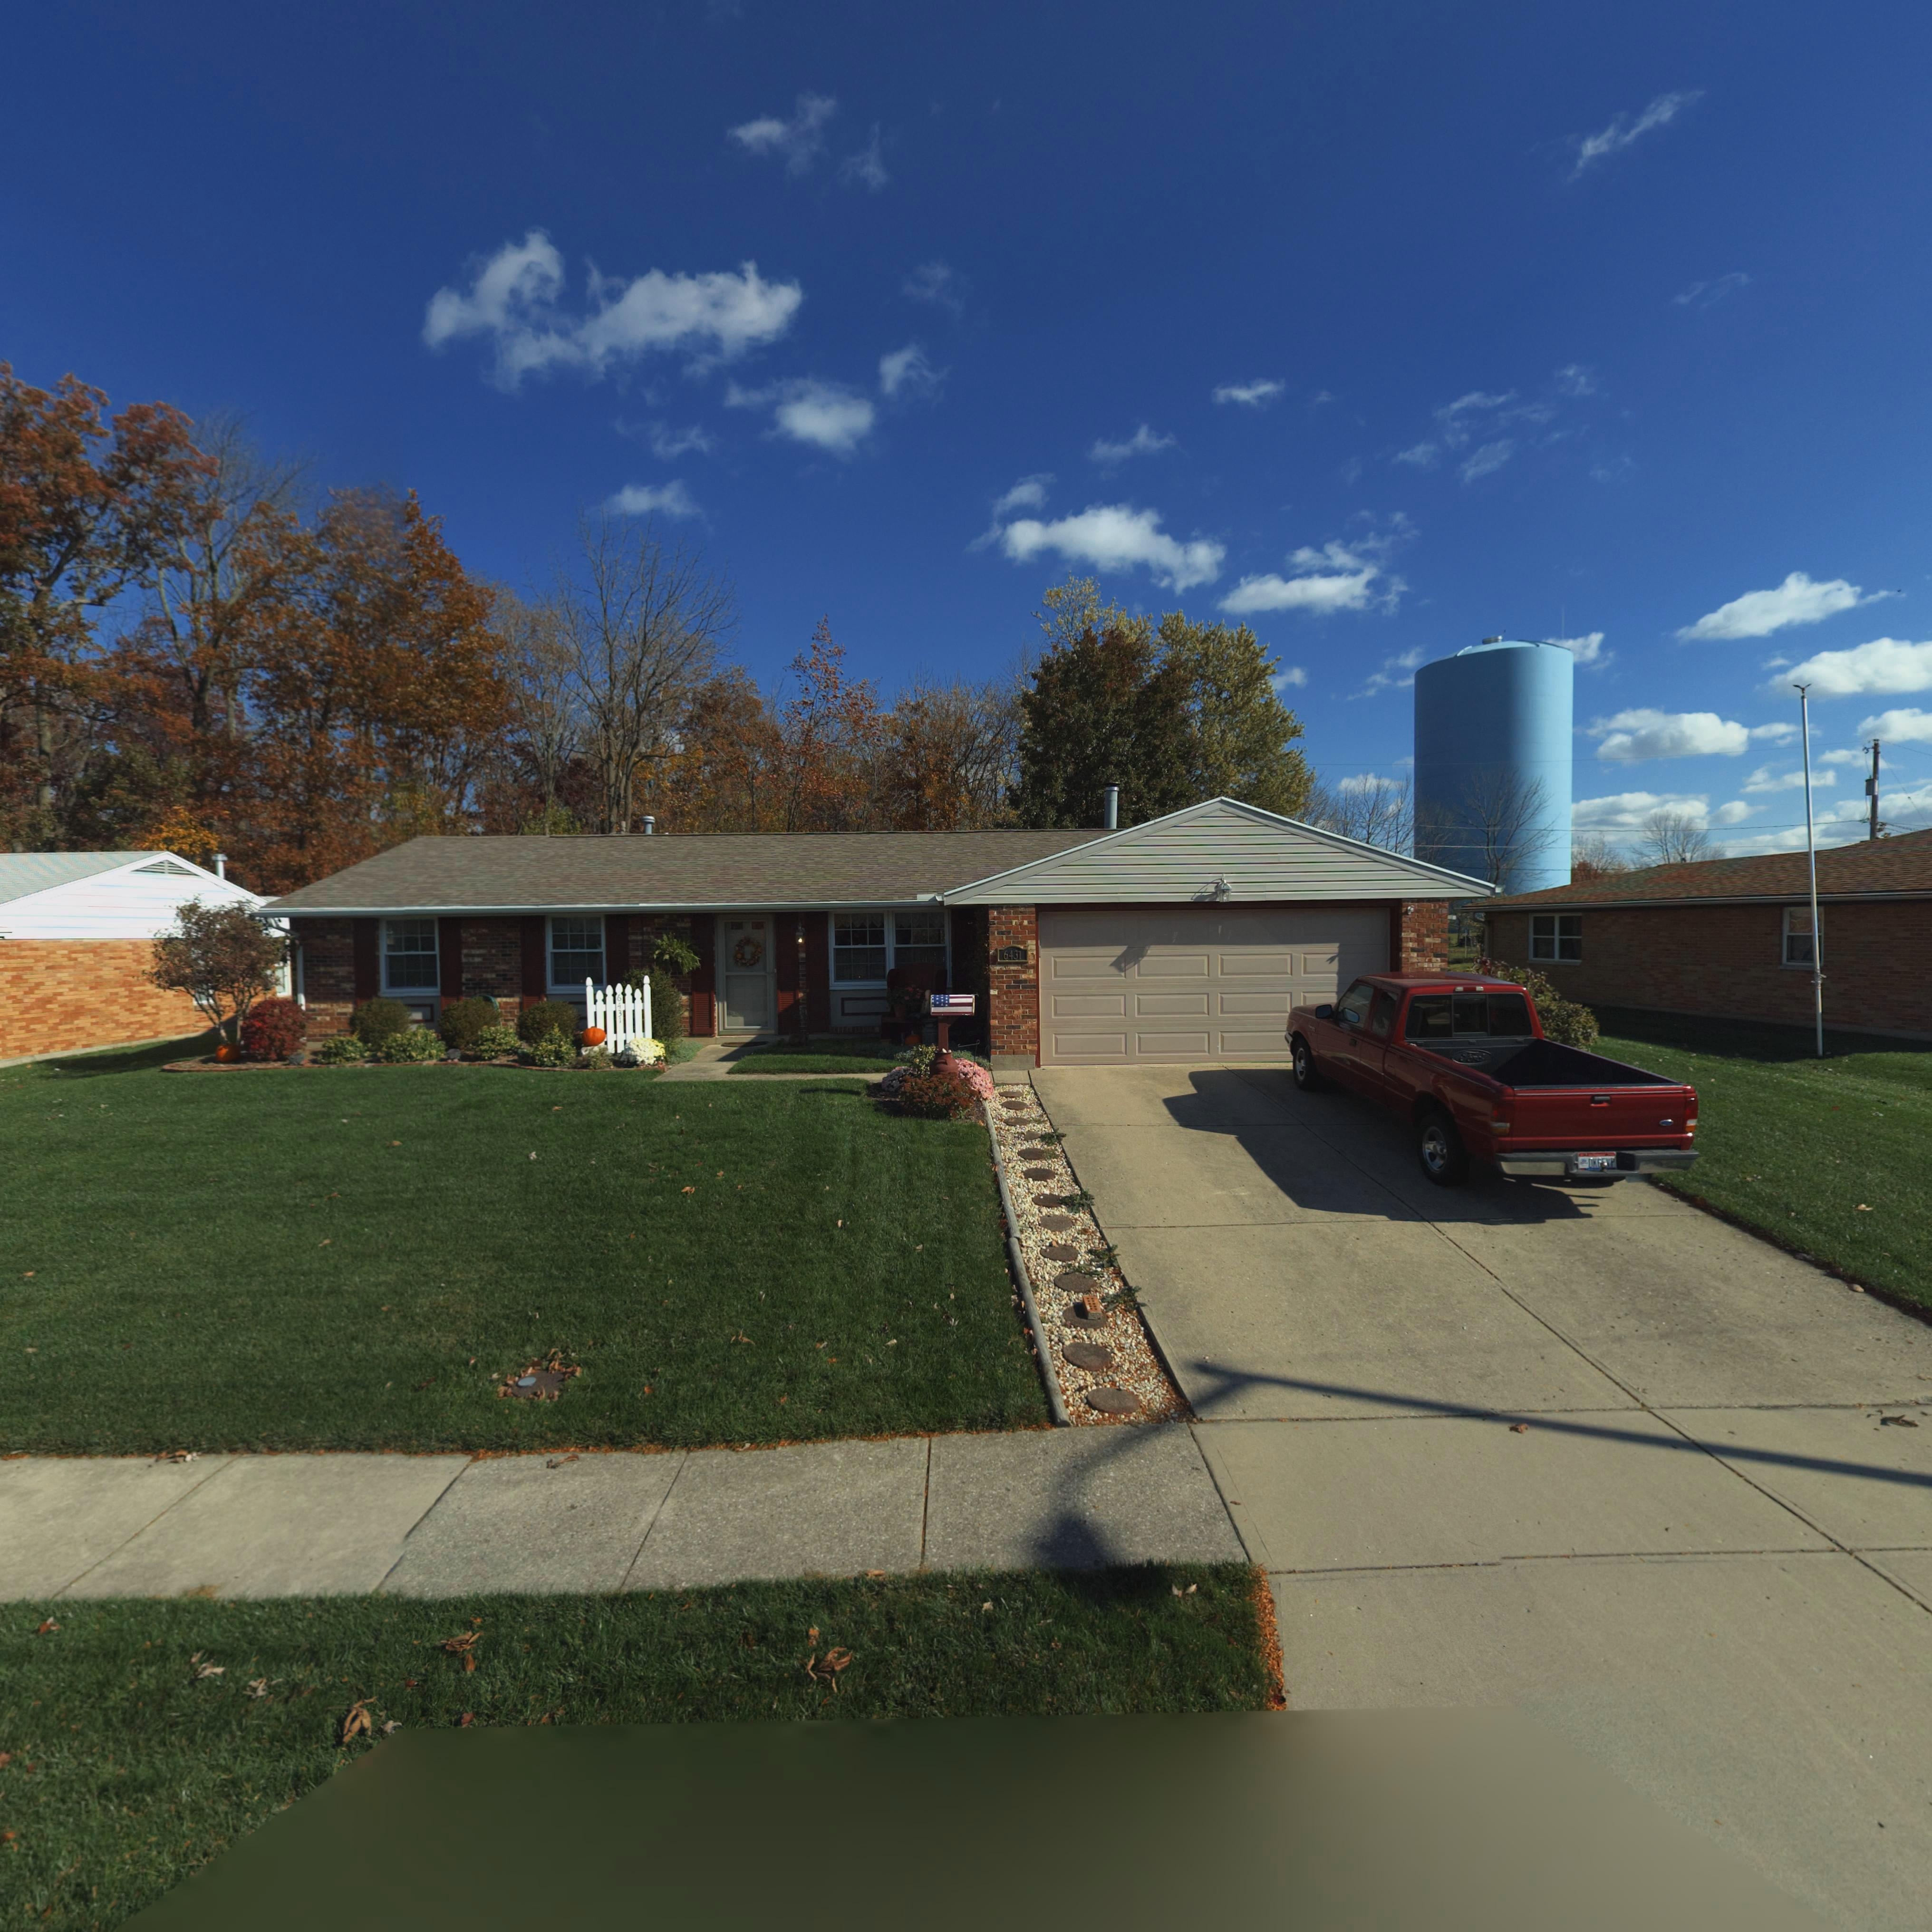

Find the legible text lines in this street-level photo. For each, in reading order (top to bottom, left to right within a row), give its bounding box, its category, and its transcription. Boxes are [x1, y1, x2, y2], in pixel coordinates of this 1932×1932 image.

[1003, 950, 1022, 960] StreetNumber: 6431
[616, 994, 622, 1024] StreetNumber: 6431